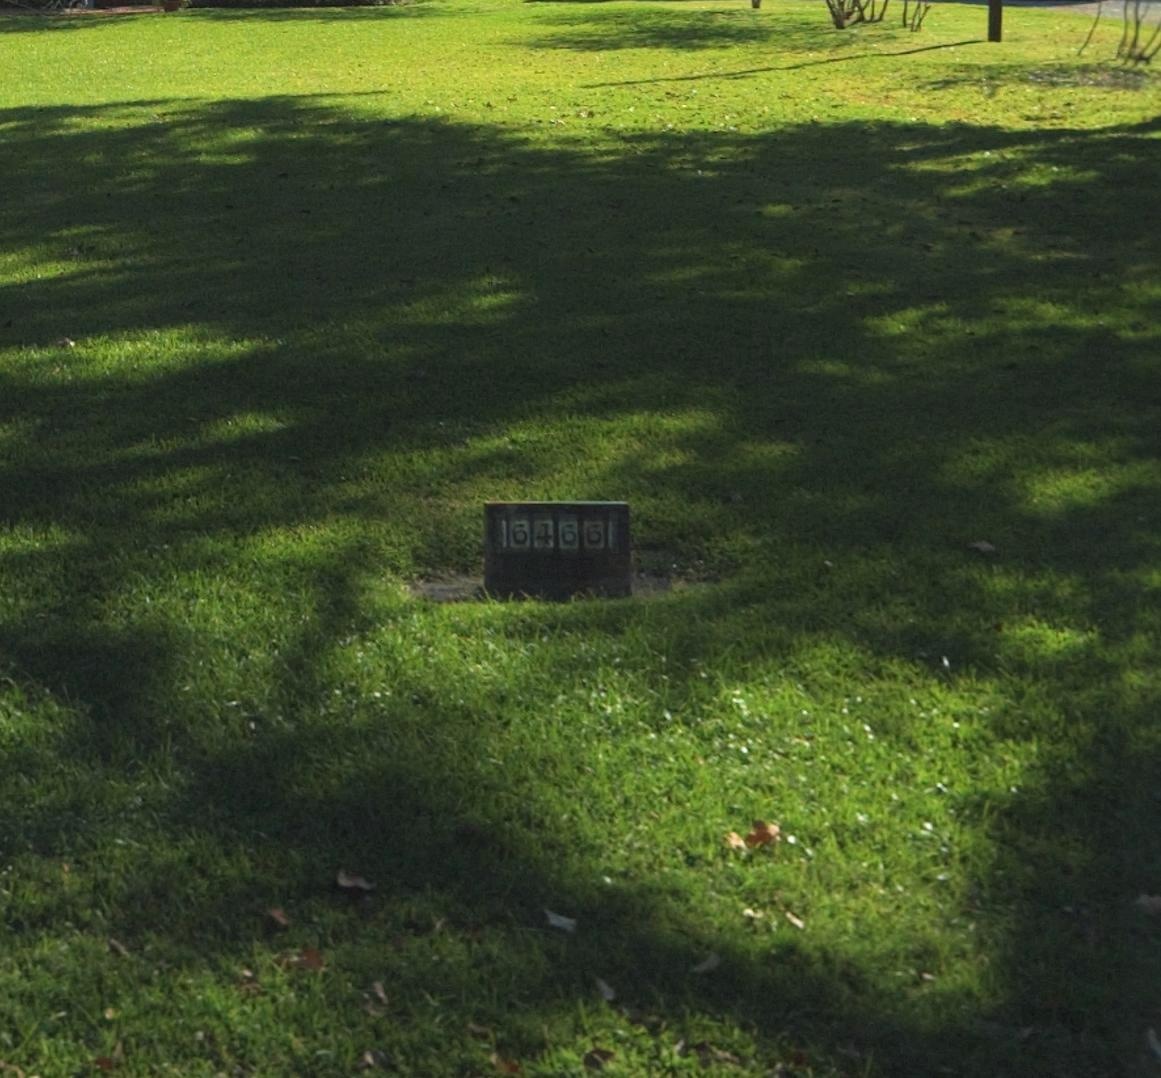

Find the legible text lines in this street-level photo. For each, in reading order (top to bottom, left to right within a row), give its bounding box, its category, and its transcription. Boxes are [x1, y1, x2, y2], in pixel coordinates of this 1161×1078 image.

[510, 520, 604, 546] StreetNumber: 6466